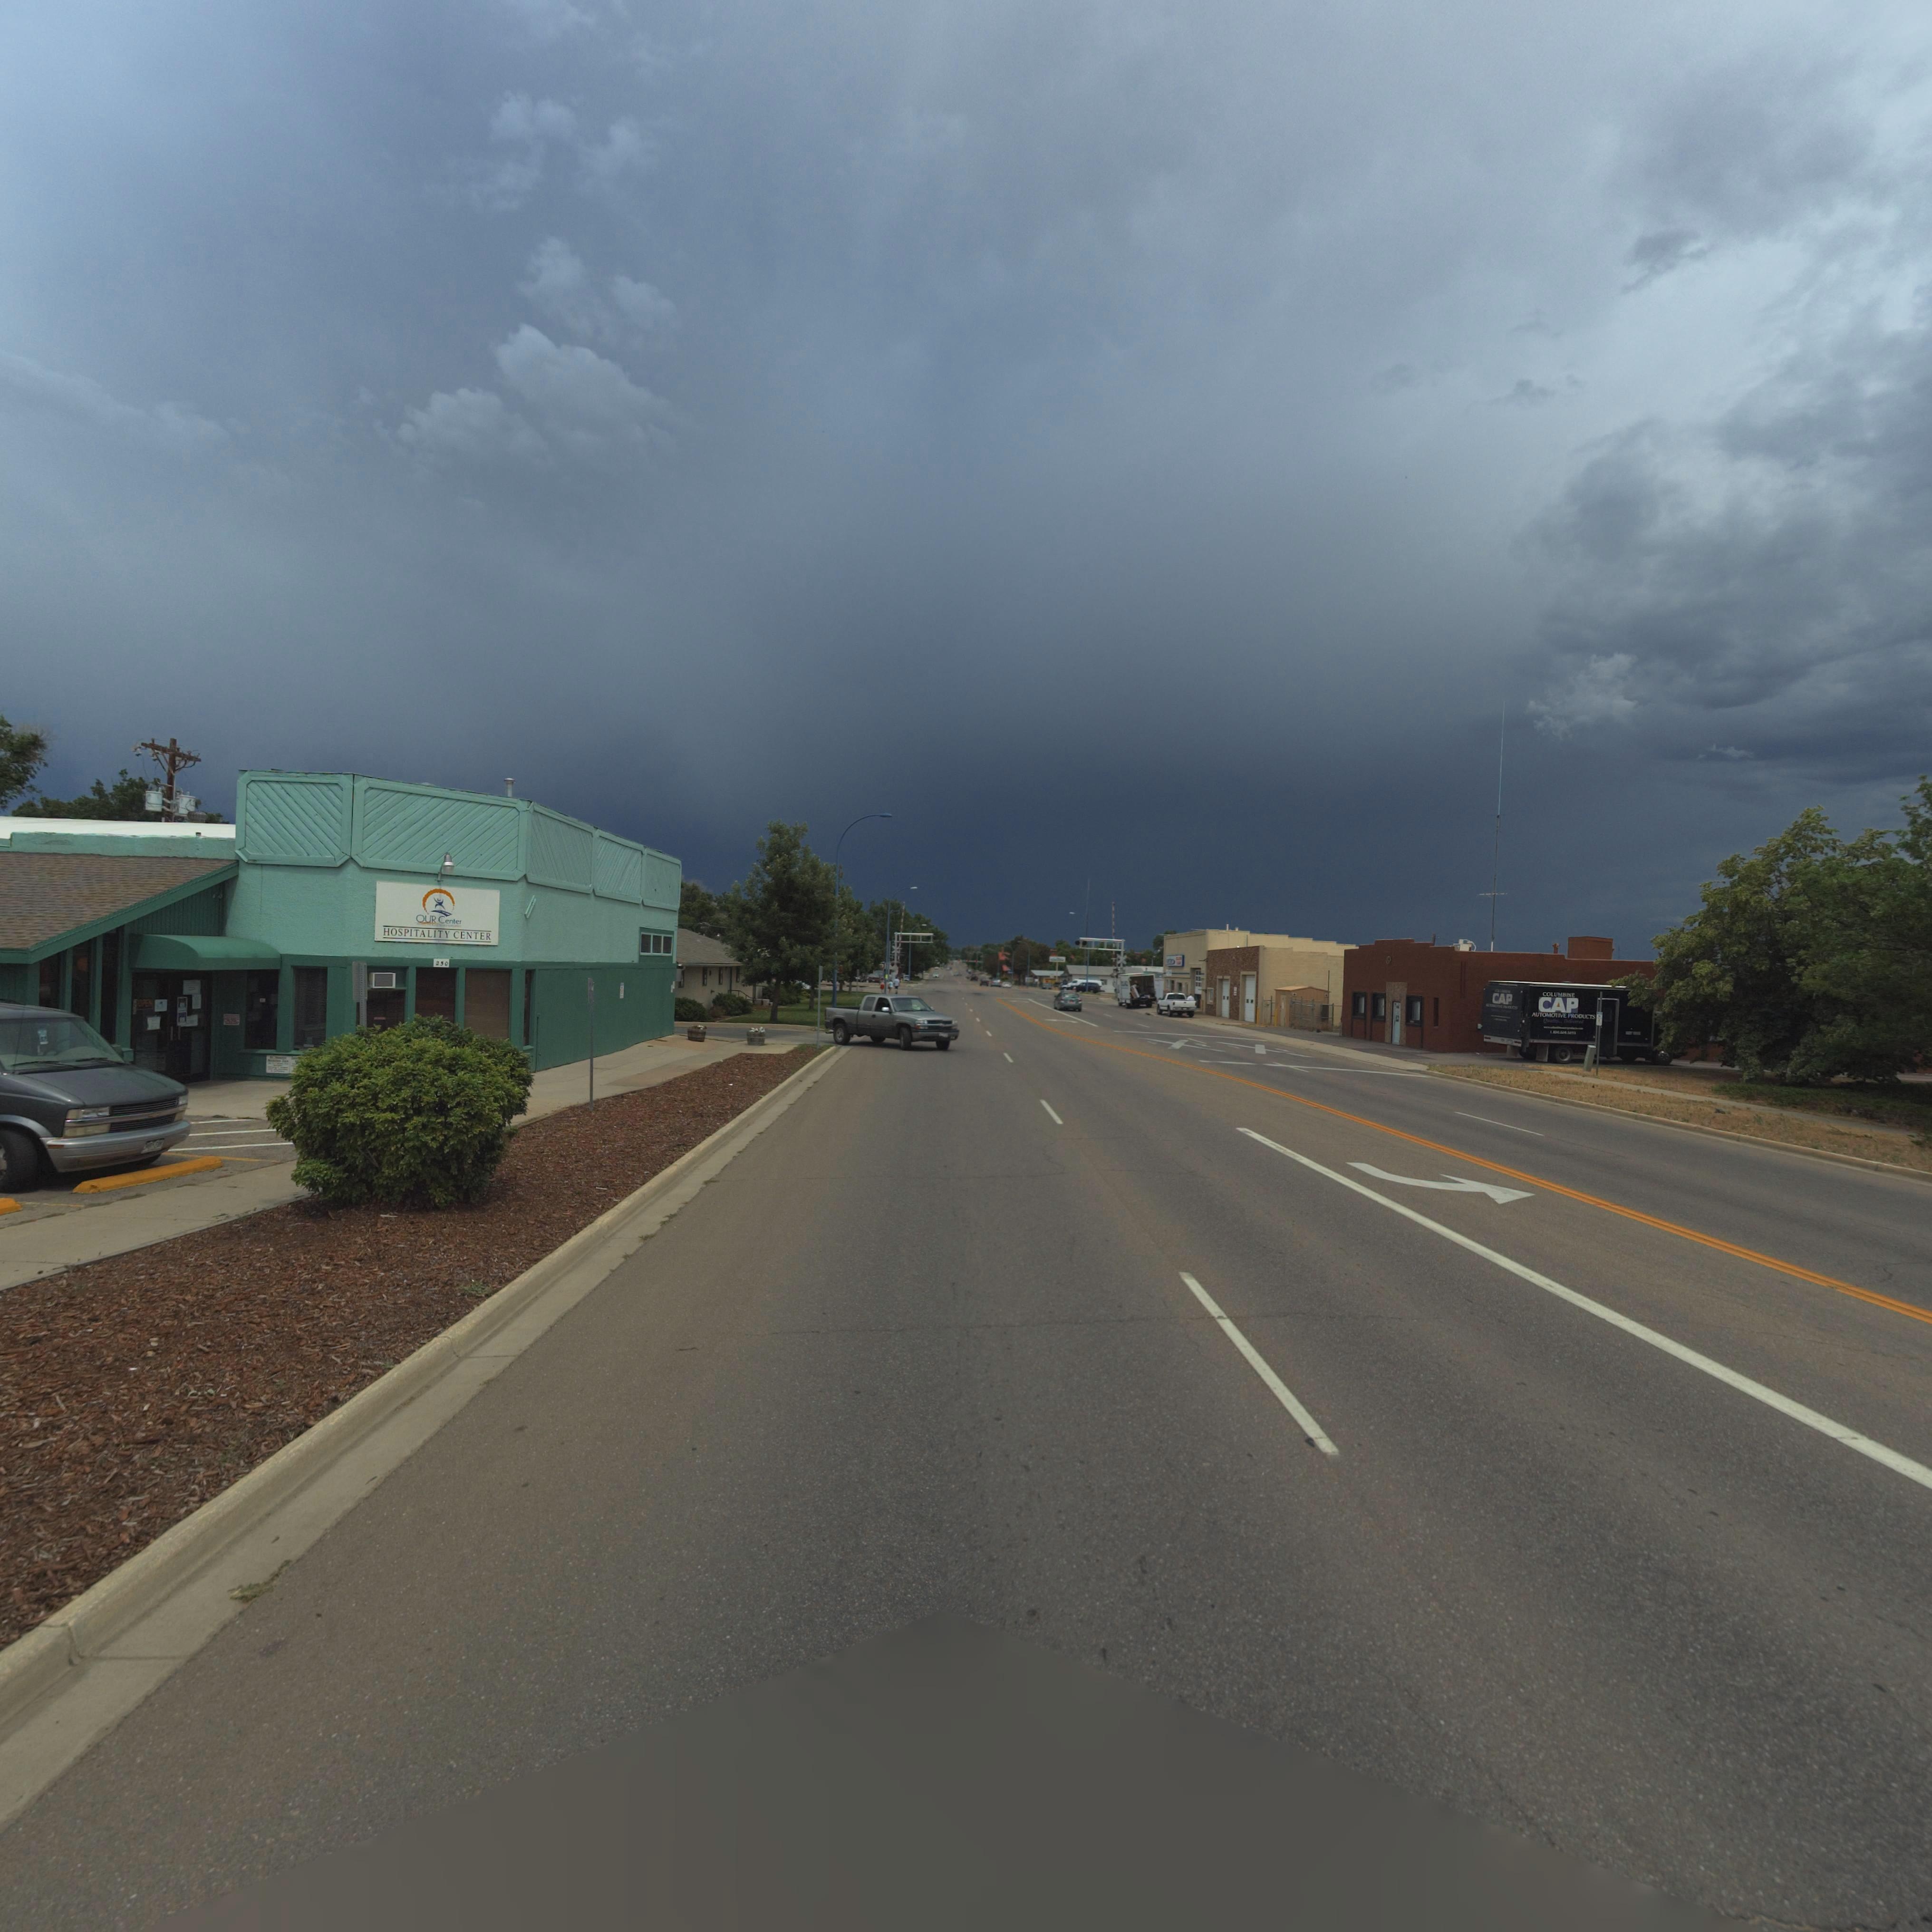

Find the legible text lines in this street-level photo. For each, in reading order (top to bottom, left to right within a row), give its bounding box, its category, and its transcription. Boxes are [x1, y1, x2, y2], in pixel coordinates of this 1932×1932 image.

[415, 914, 462, 925] BusinessName: OUR Center
[435, 960, 448, 966] StreetNumber: 250